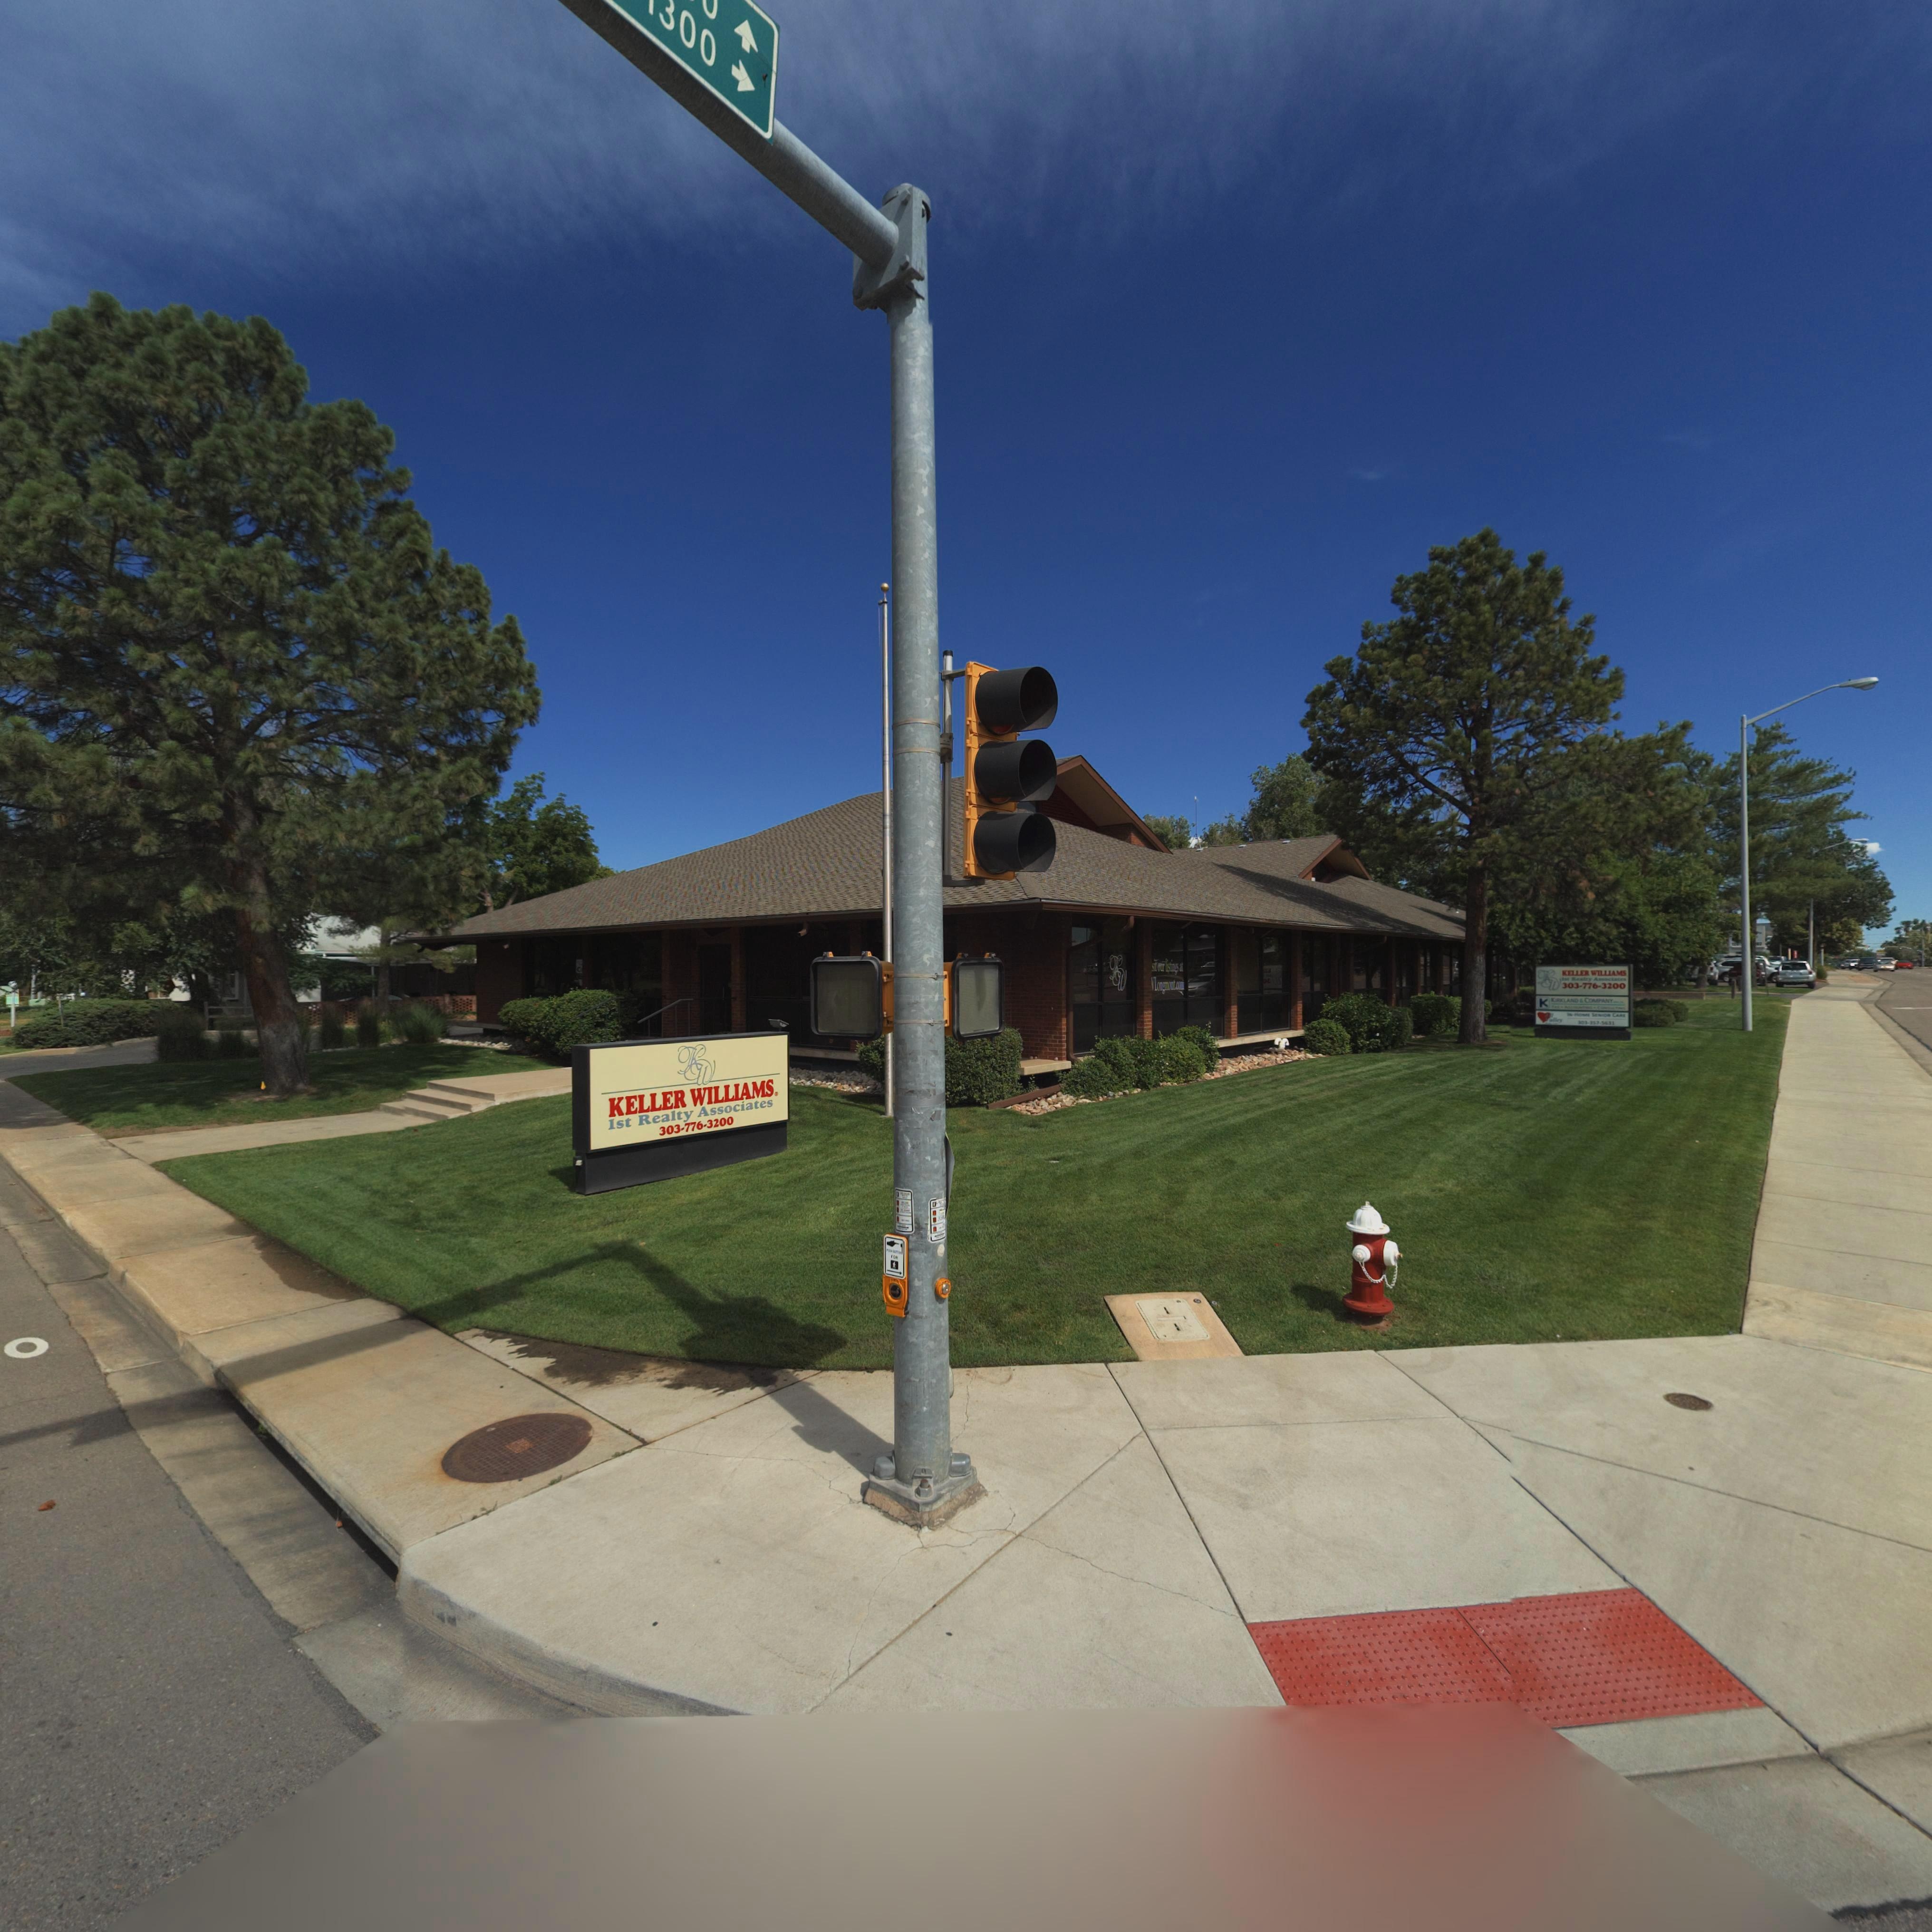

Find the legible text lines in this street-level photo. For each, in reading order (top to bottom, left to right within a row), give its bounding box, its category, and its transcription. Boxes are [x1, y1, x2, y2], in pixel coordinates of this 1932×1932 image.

[679, 9, 757, 92] StreetNumberRange: 00->
[1562, 969, 1627, 976] BusinessName: K*LLER WILLIAMS
[1571, 976, 1627, 982] BusinessName: *****y A*********
[1550, 997, 1614, 1004] BusinessName: ****LAN* * CO**A*Y
[1566, 1012, 1626, 1018] BusinessName: ****O** S***O* C***
[1545, 1016, 1564, 1024] BusinessName: **ll**
[608, 1078, 774, 1118] BusinessName: KELLER WILLIAMS
[608, 1099, 773, 1130] BusinessName: 1st Realty Associates